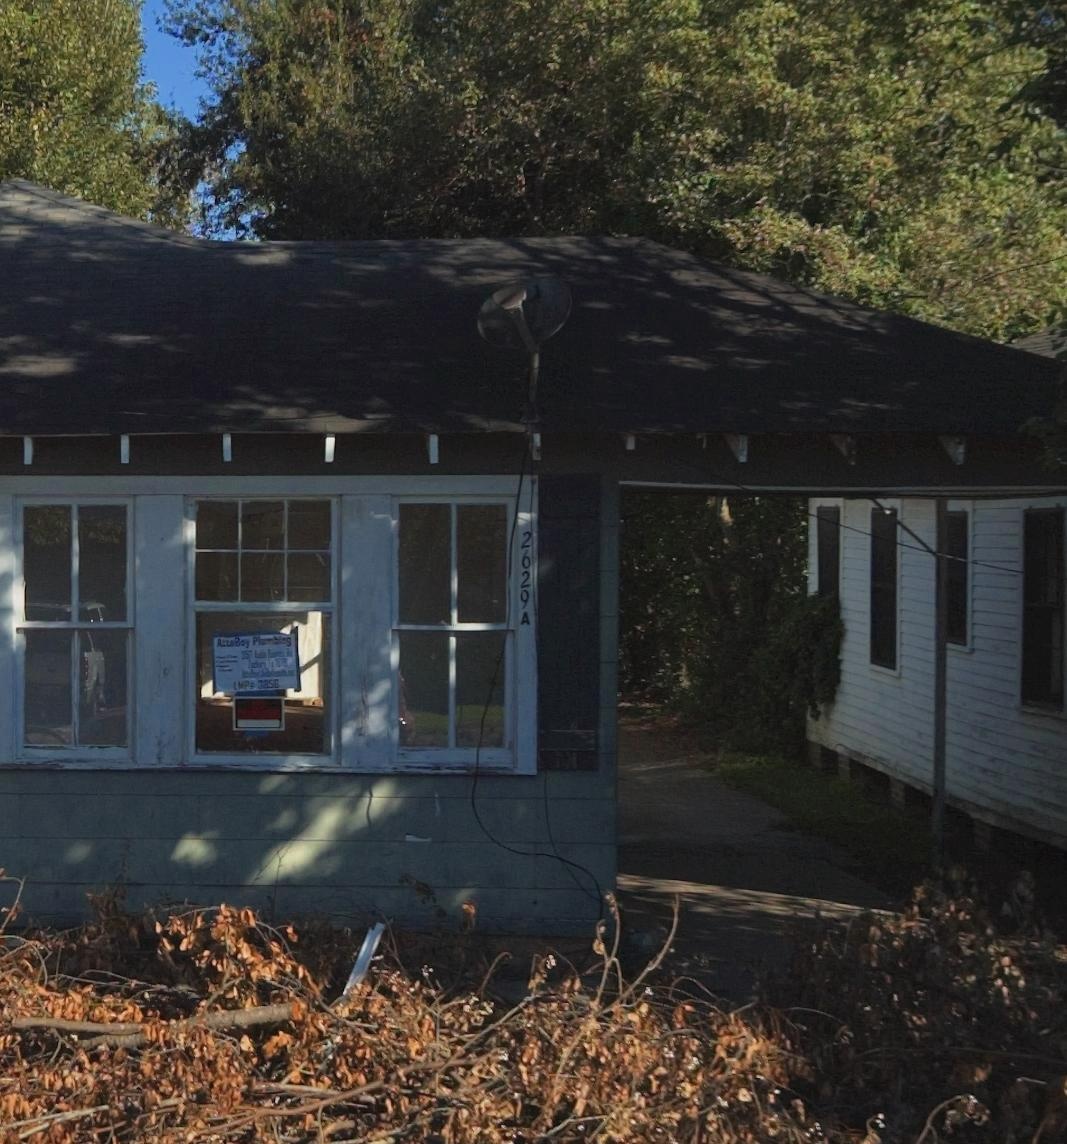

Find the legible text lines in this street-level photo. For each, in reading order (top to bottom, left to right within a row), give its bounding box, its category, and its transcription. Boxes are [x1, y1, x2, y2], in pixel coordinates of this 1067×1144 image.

[518, 529, 534, 627] StreetNumber: 2629 A
[214, 634, 294, 651] None: A***Boy Pl*****g
[234, 676, 282, 692] None: MP*3856